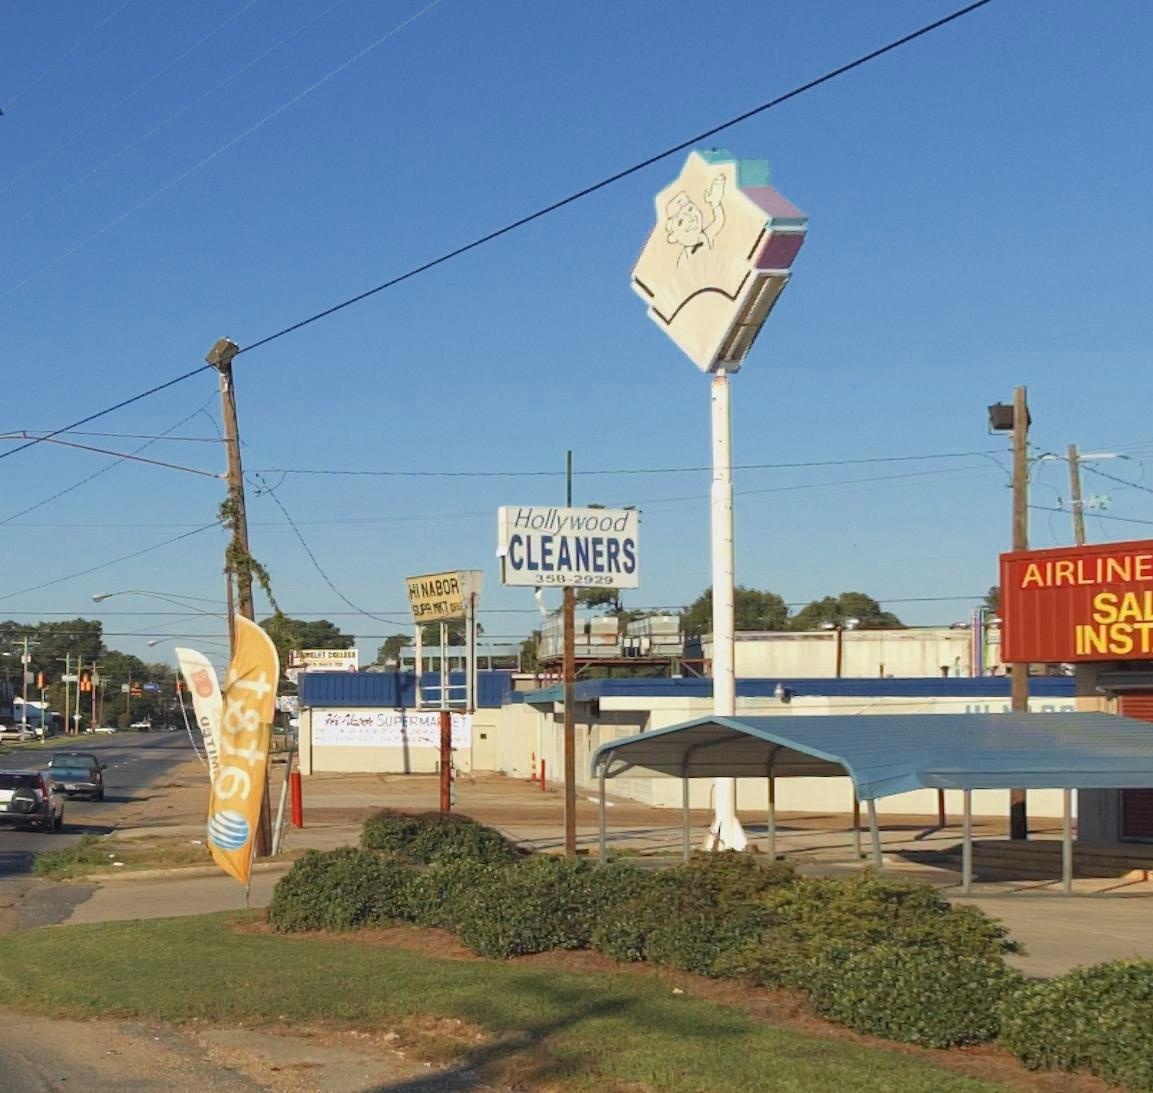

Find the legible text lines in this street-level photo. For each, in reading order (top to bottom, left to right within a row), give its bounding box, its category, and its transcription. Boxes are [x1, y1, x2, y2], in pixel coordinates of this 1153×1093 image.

[511, 504, 633, 538] BusinessName: Hollywood
[506, 531, 639, 577] BusinessName: CLEANERS
[405, 574, 463, 602] None: H* NABOR
[532, 572, 617, 587] None: 35*-2929
[1017, 552, 1152, 591] BusinessName: AIRLINE
[1089, 588, 1148, 628] None: SA
[1073, 620, 1145, 657] None: INS
[375, 711, 437, 730] None: SUPERMA
[451, 715, 469, 729] None: ET